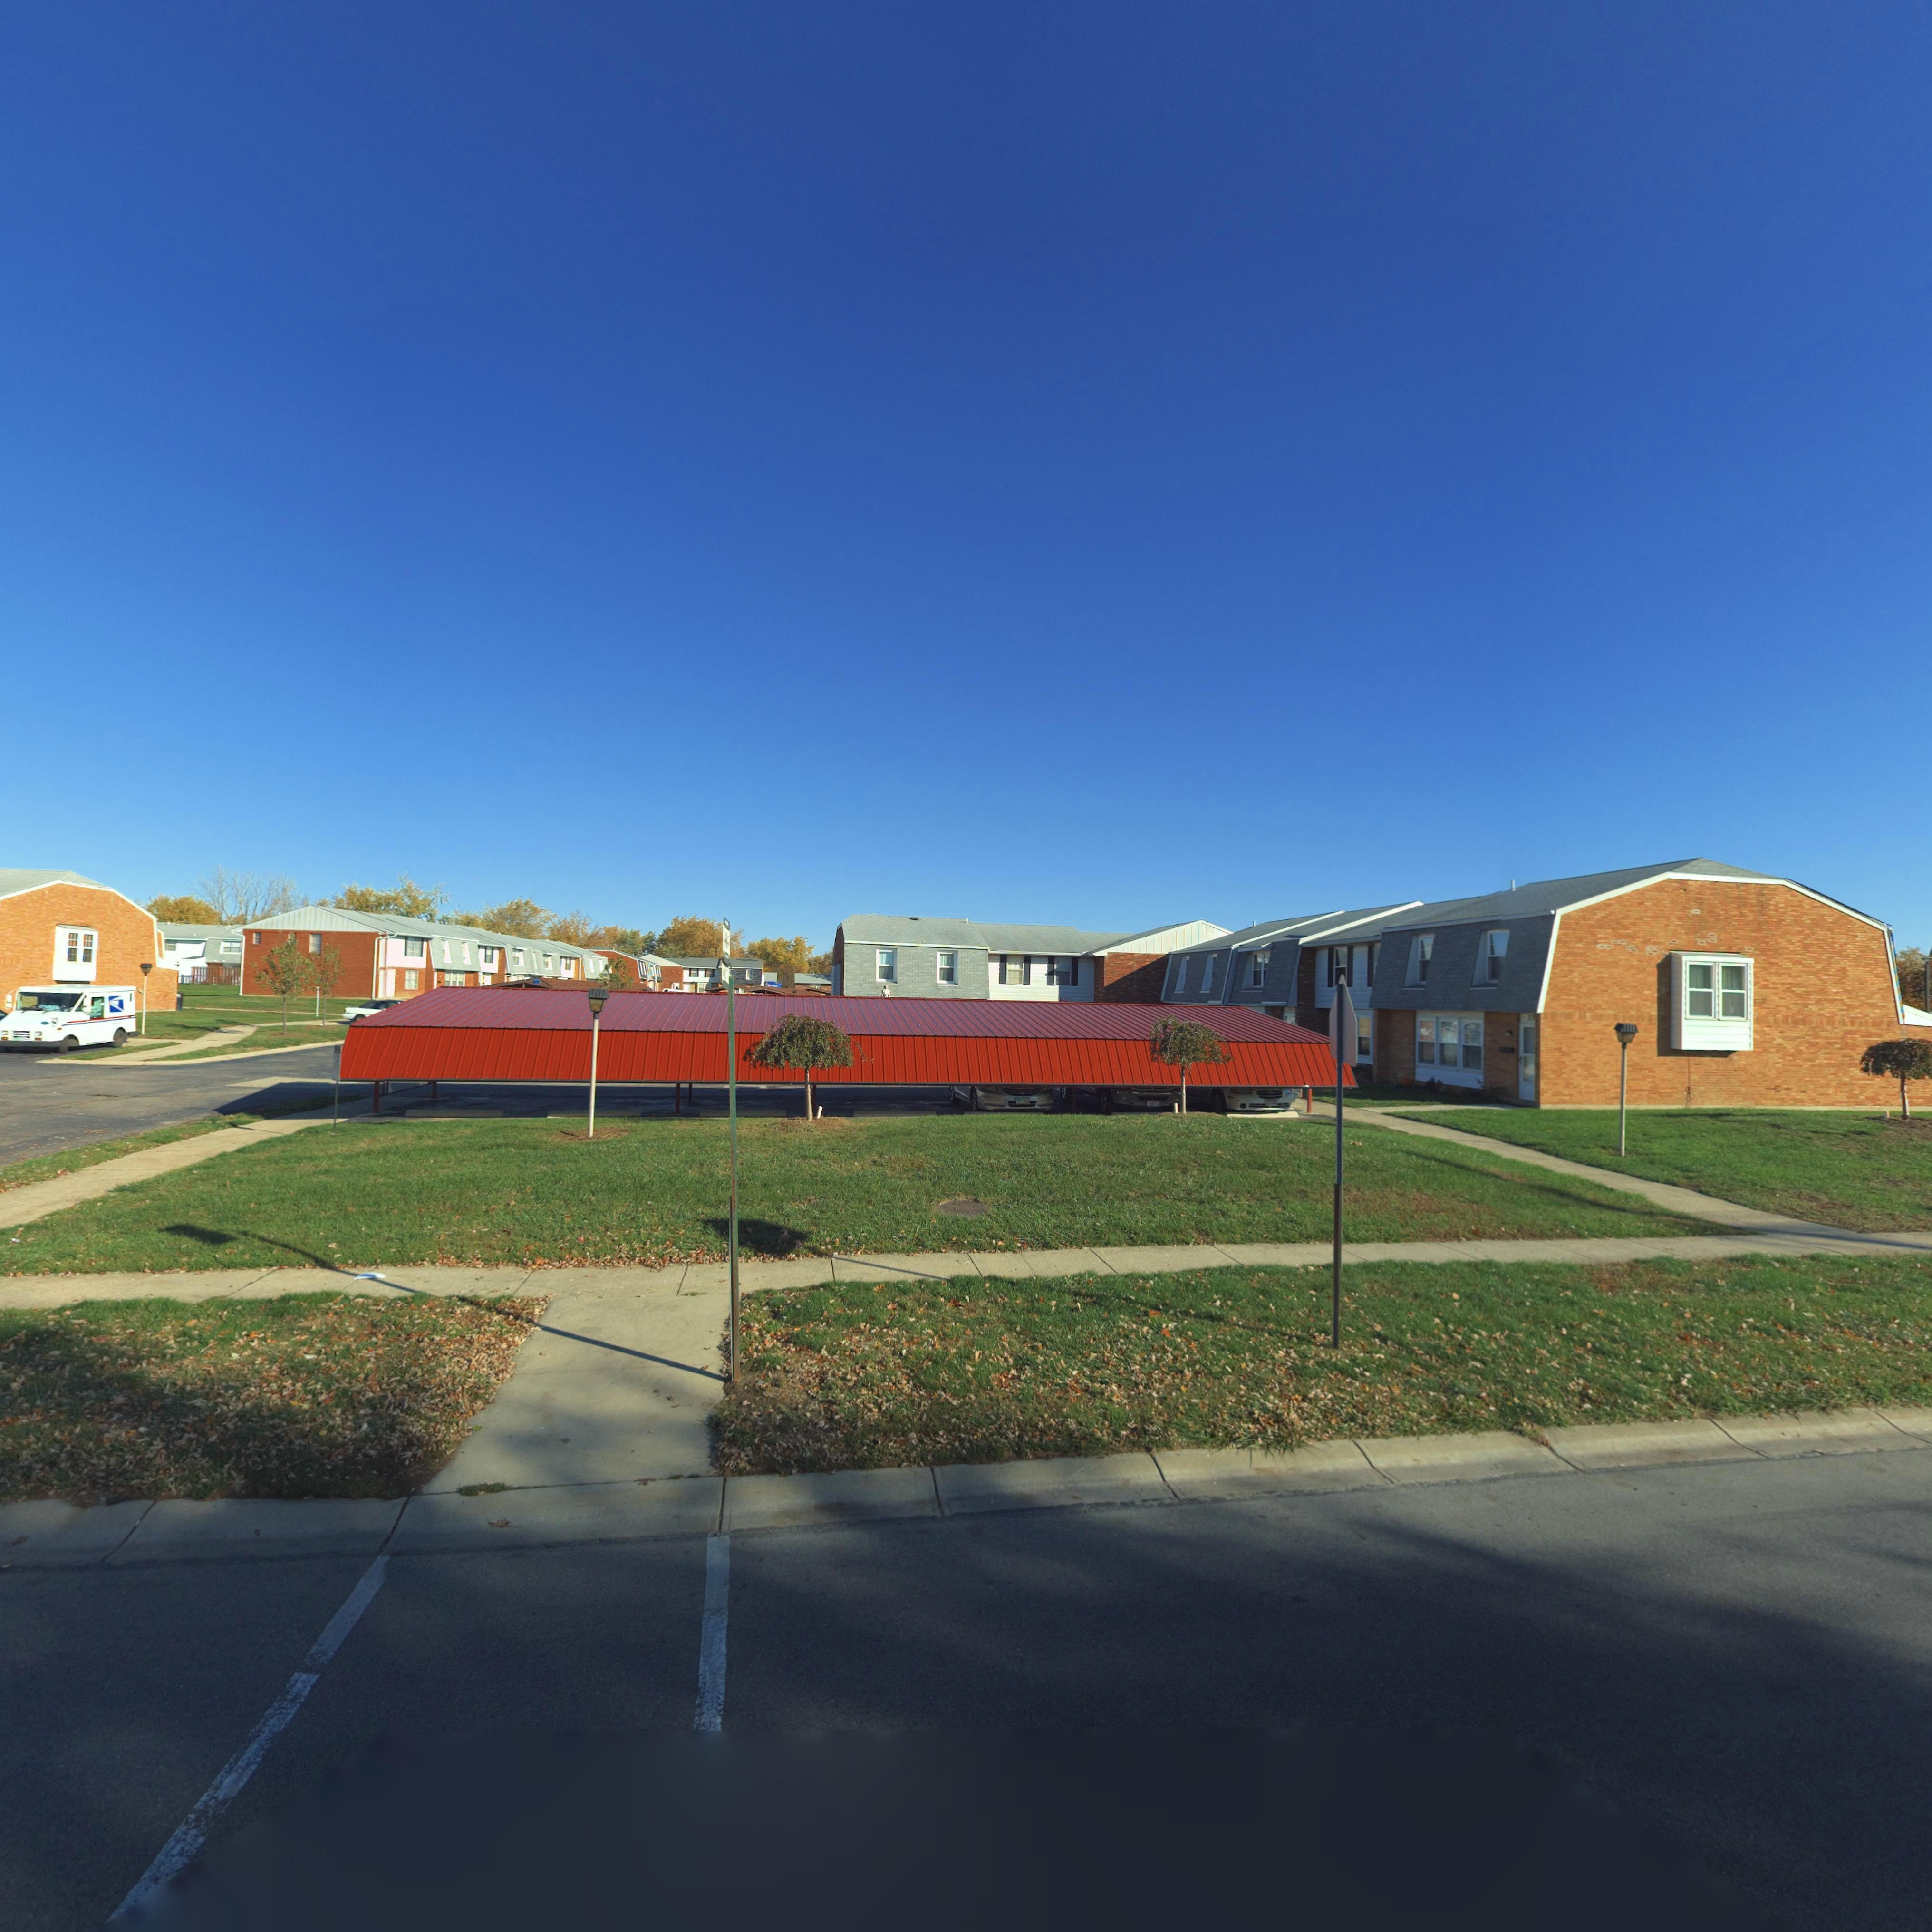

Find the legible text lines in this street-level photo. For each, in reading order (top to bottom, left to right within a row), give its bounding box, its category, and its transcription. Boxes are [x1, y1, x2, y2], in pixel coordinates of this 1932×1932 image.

[1527, 1014, 1535, 1020] StreetNumber: 75